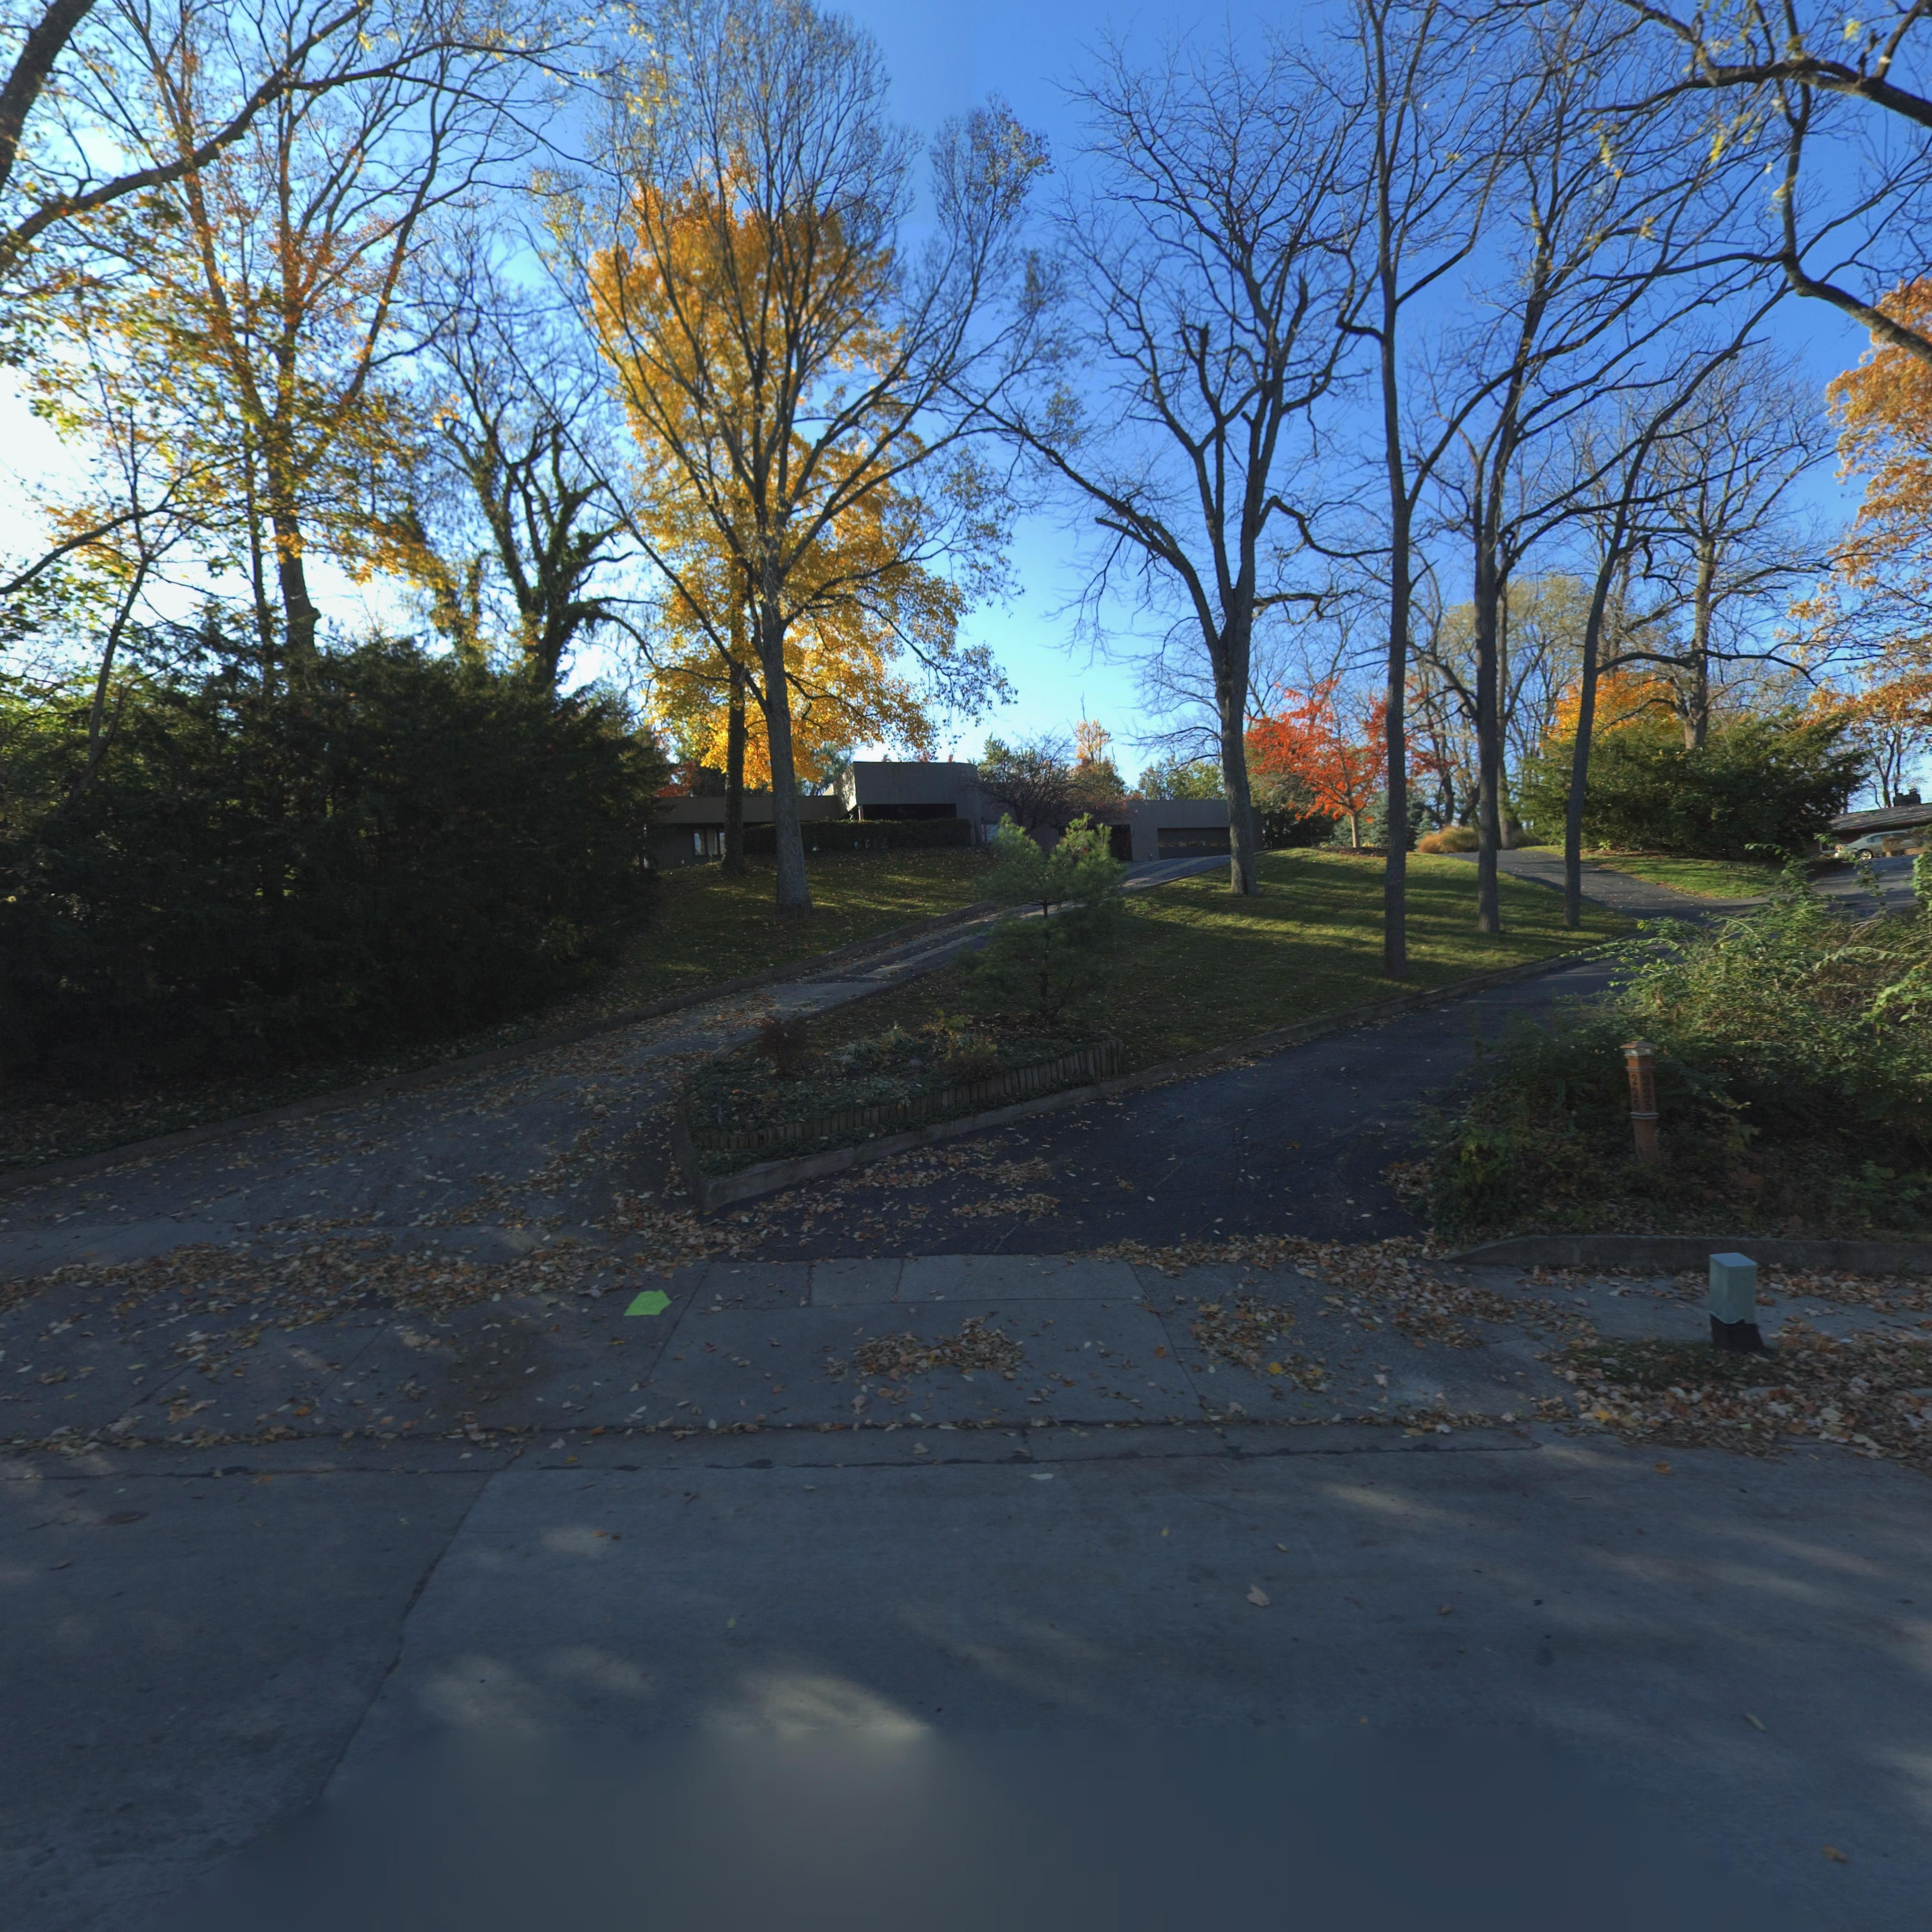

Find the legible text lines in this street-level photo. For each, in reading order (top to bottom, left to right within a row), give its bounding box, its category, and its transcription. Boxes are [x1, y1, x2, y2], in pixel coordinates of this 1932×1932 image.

[1630, 1074, 1640, 1111] StreetNumber: 225
[1641, 1074, 1653, 1111] StreetNumber: 225